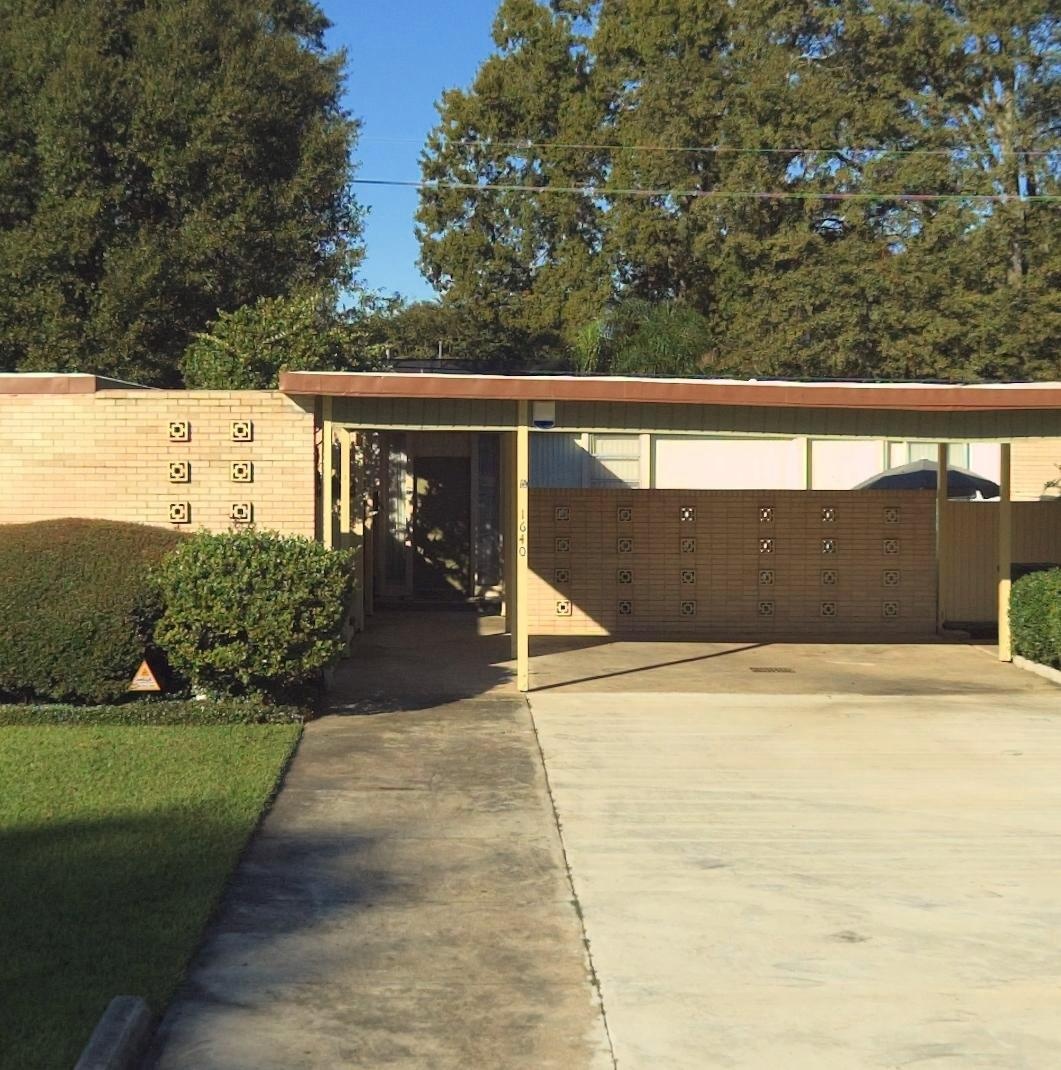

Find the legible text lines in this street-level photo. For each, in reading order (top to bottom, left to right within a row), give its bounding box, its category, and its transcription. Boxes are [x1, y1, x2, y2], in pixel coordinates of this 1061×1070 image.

[517, 507, 528, 559] StreetNumber: 1640